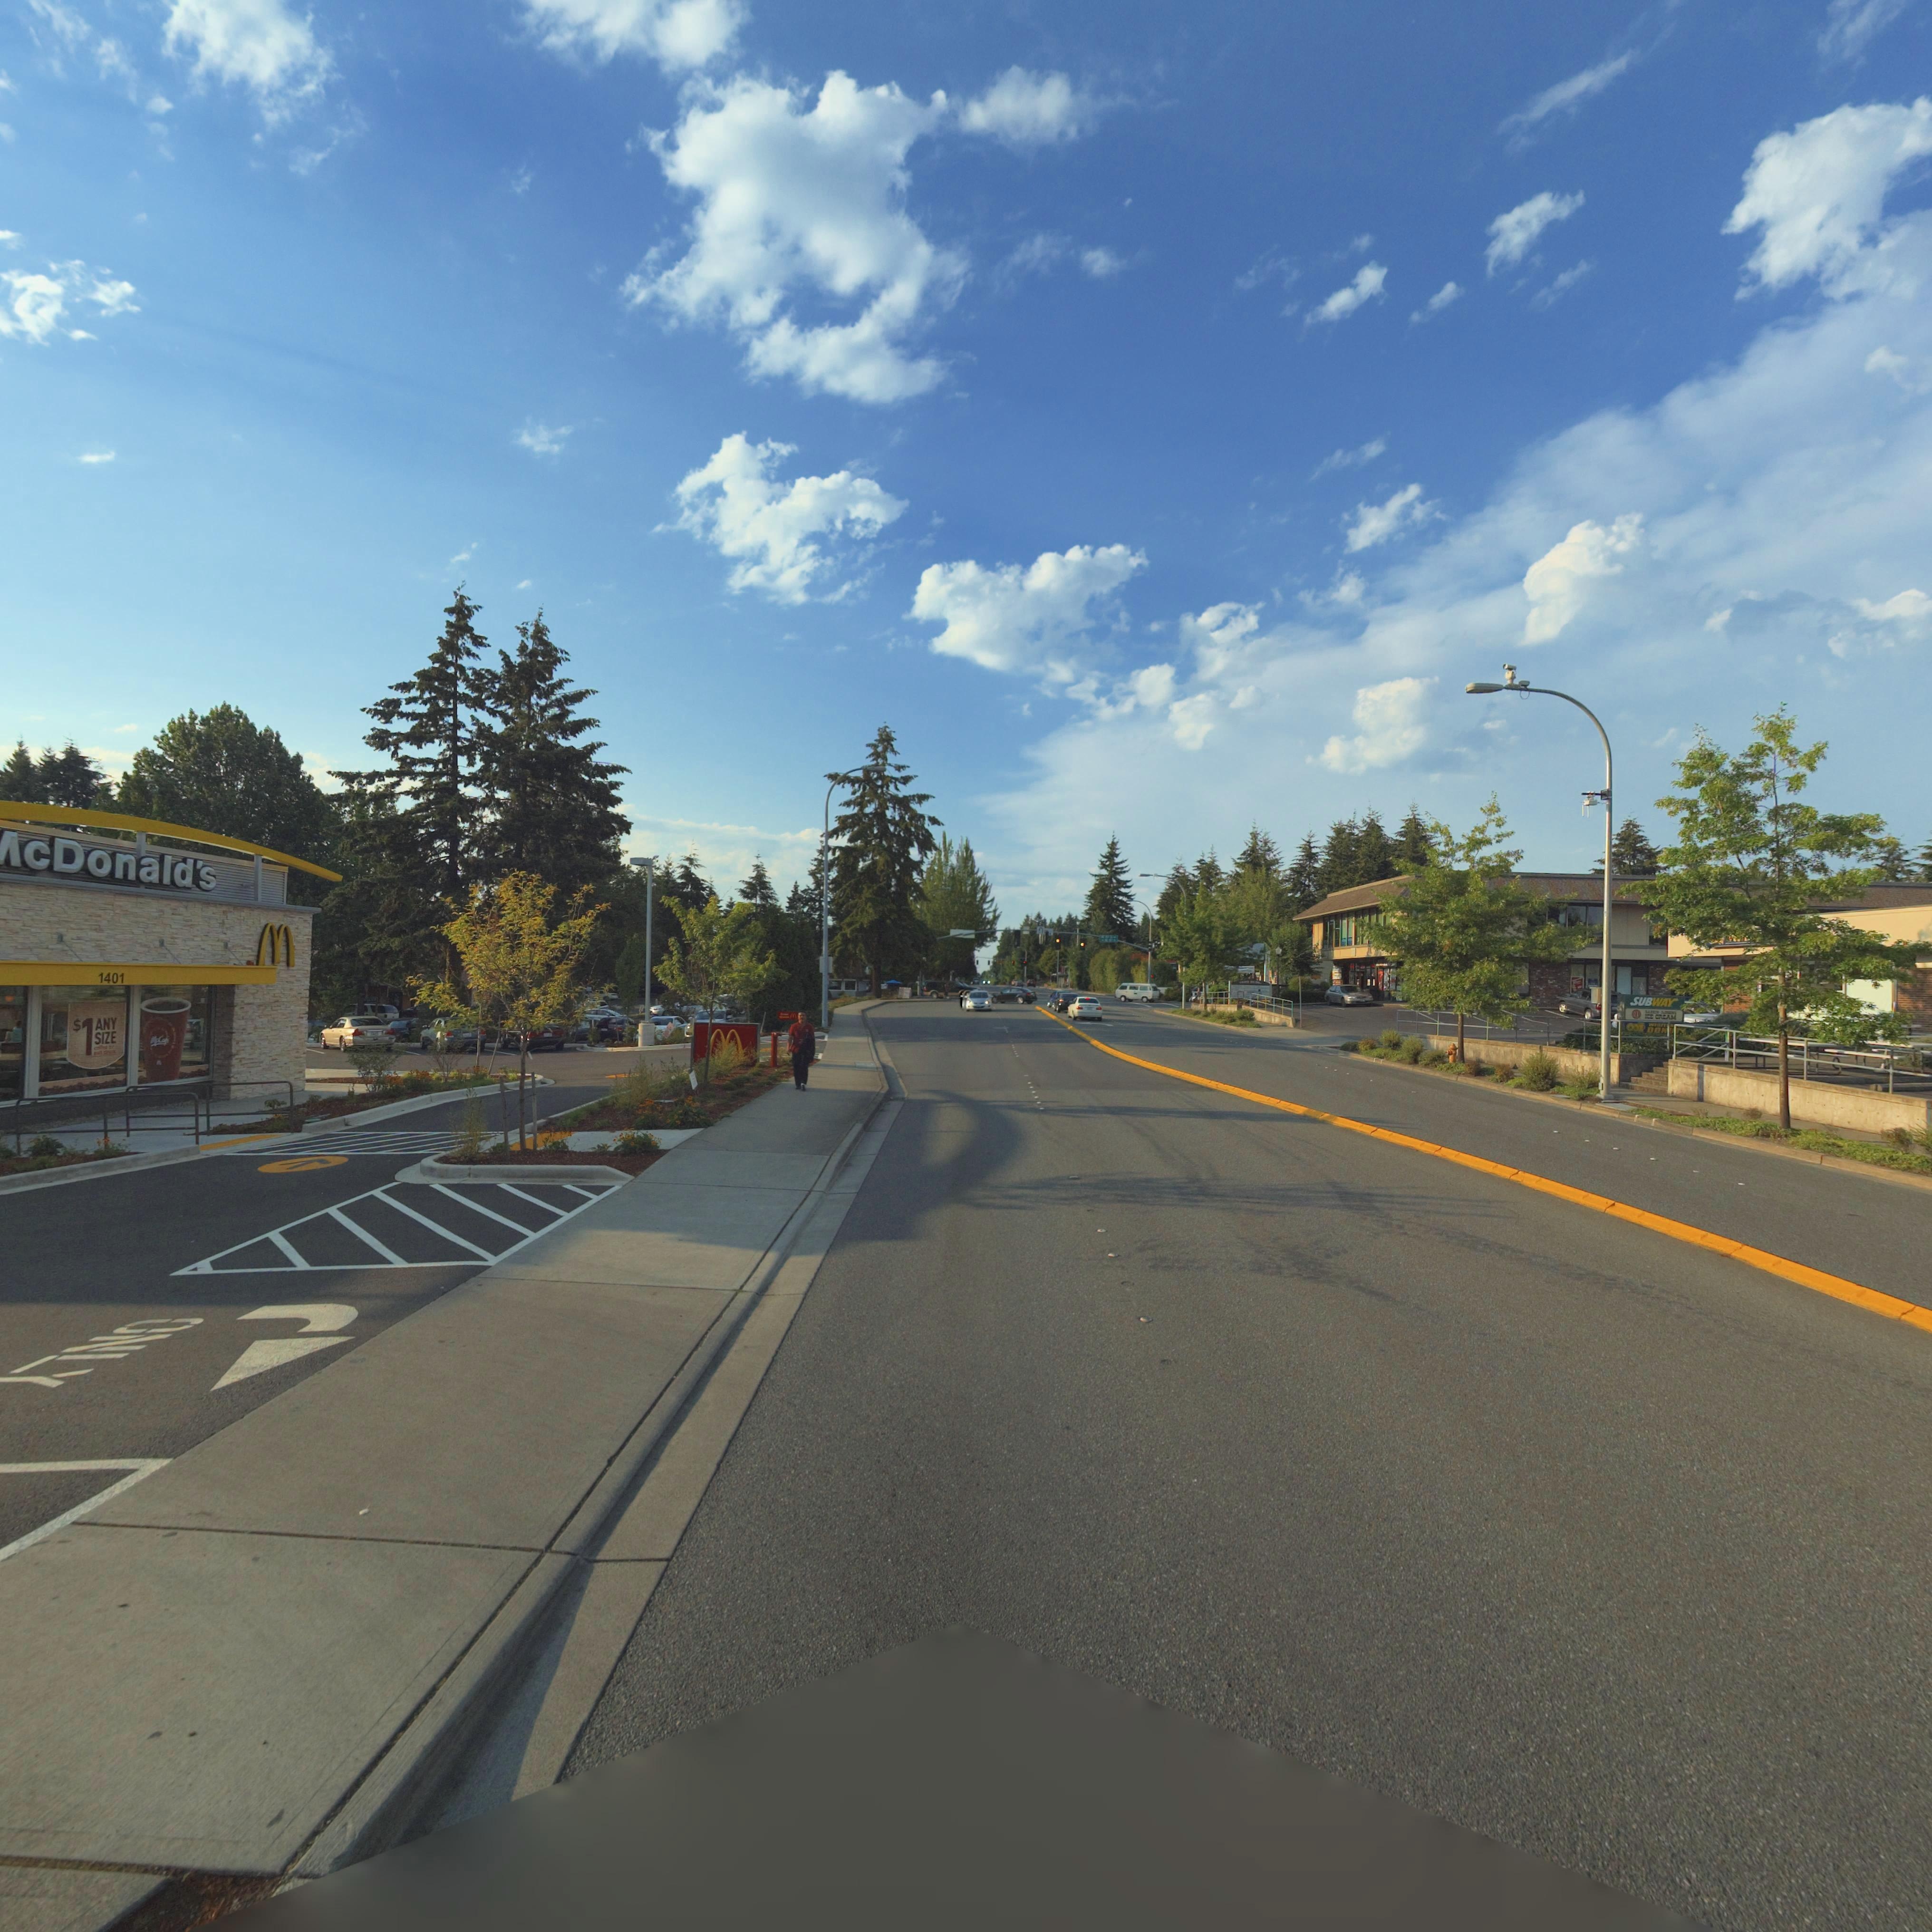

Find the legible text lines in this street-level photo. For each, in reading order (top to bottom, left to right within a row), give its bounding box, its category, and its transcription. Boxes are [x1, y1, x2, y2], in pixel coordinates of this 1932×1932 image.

[98, 973, 123, 983] StreetNumber: 1401
[1630, 996, 1678, 1007] BusinessName: SUBWAY